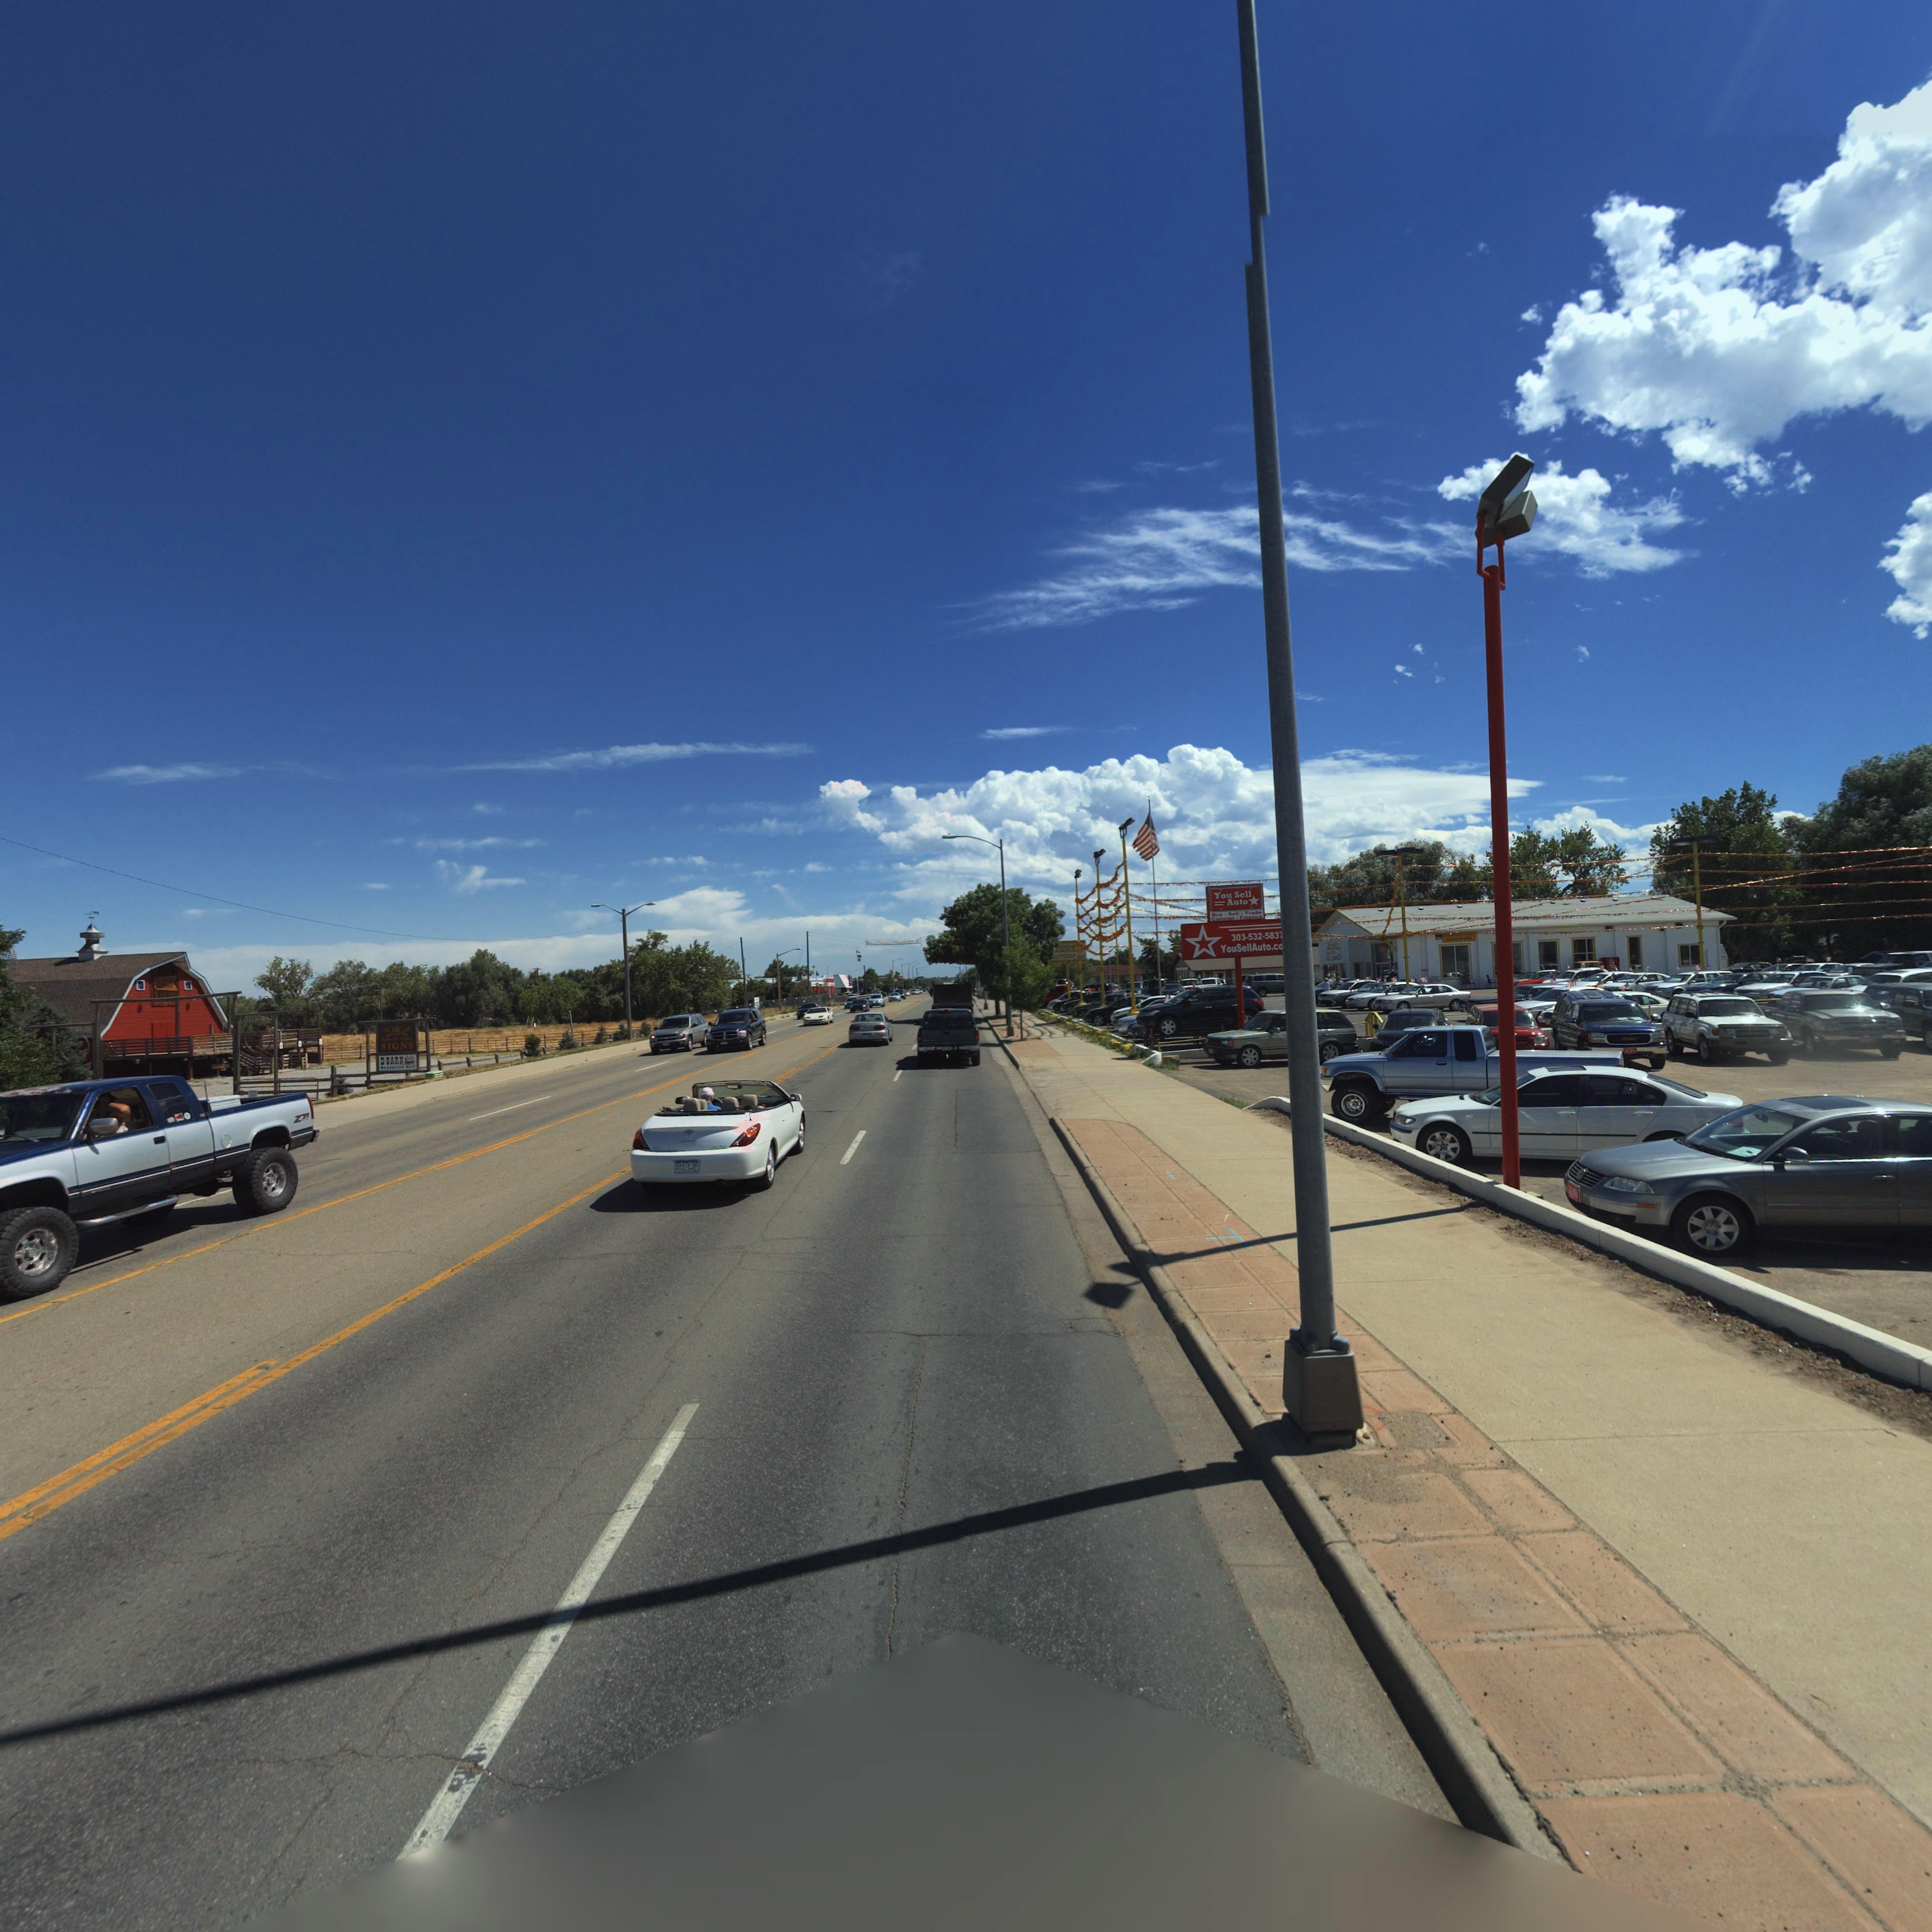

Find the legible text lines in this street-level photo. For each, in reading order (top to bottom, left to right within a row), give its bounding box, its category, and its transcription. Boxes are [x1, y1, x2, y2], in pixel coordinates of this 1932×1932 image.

[1213, 890, 1252, 899] BusinessName: You Sell
[1226, 898, 1248, 906] BusinessName: Auto
[380, 1041, 414, 1051] BusinessName: SIGNS
[380, 1056, 404, 1065] StreetNumber: D*BARN
[380, 1064, 415, 1070] BusinessName: R***pt*in Hall